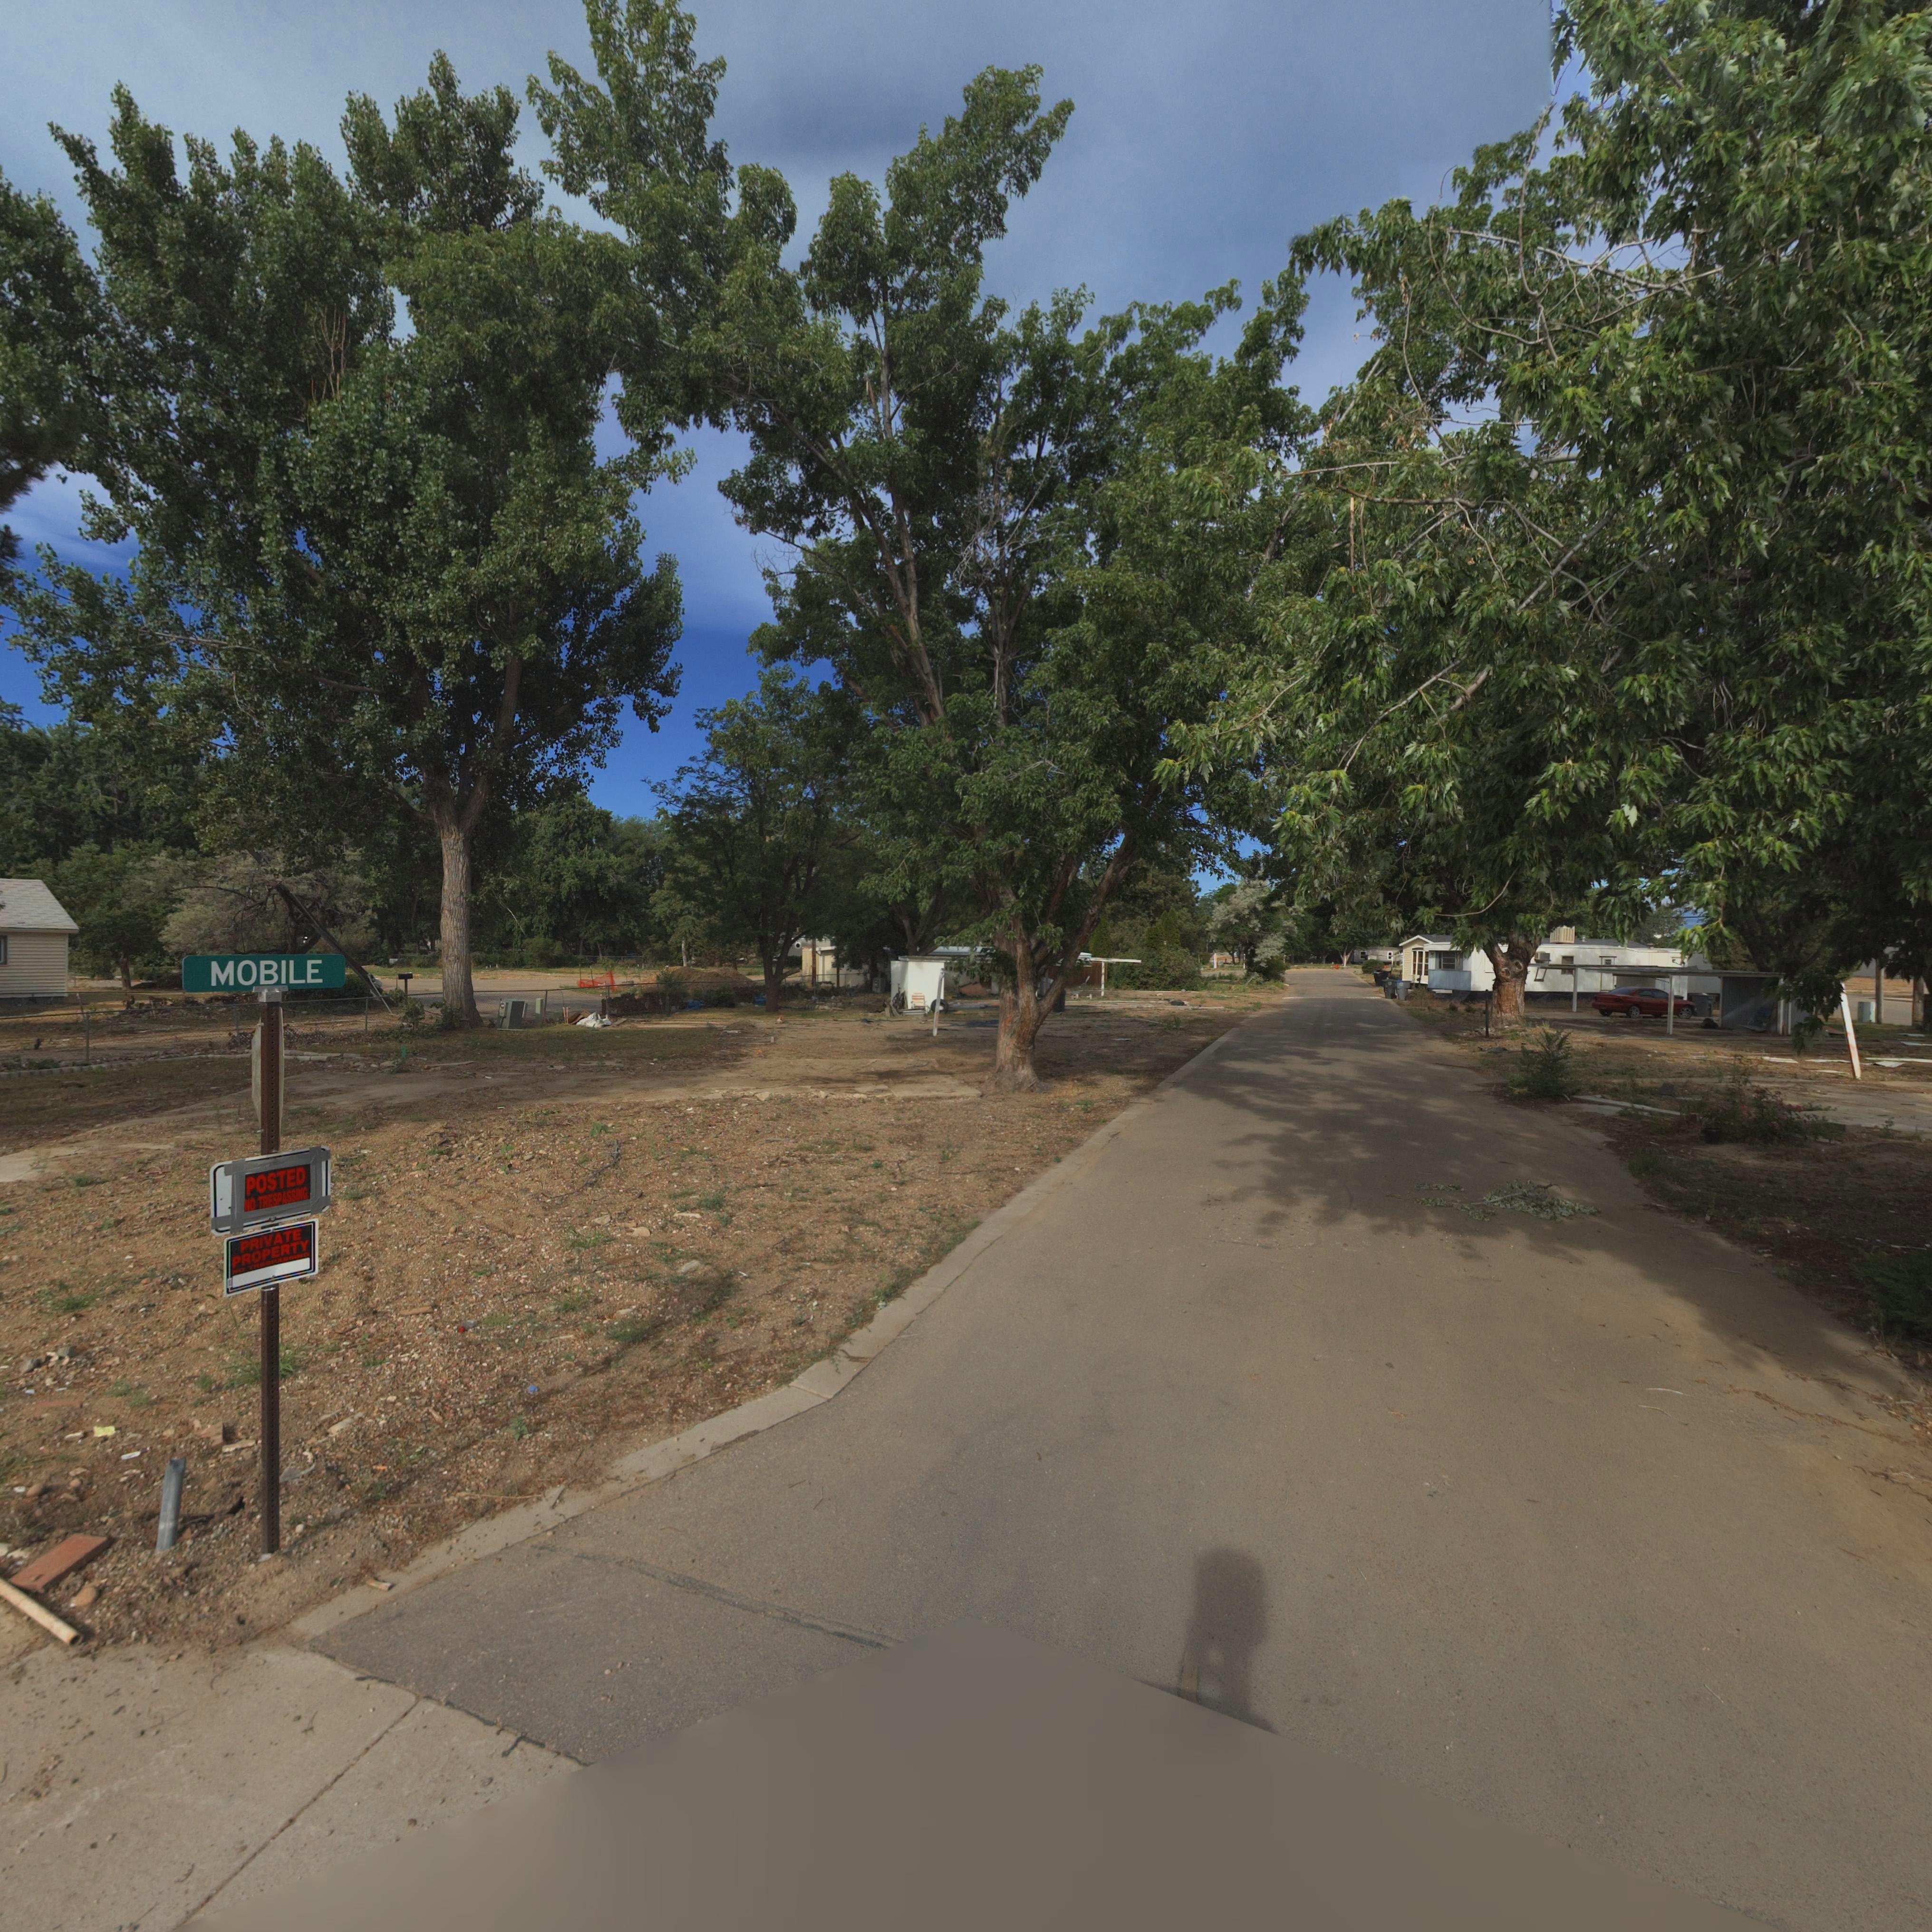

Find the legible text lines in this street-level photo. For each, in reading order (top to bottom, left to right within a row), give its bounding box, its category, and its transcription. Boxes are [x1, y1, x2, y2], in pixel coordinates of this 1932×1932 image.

[211, 959, 322, 985] StreetName: MOBILE